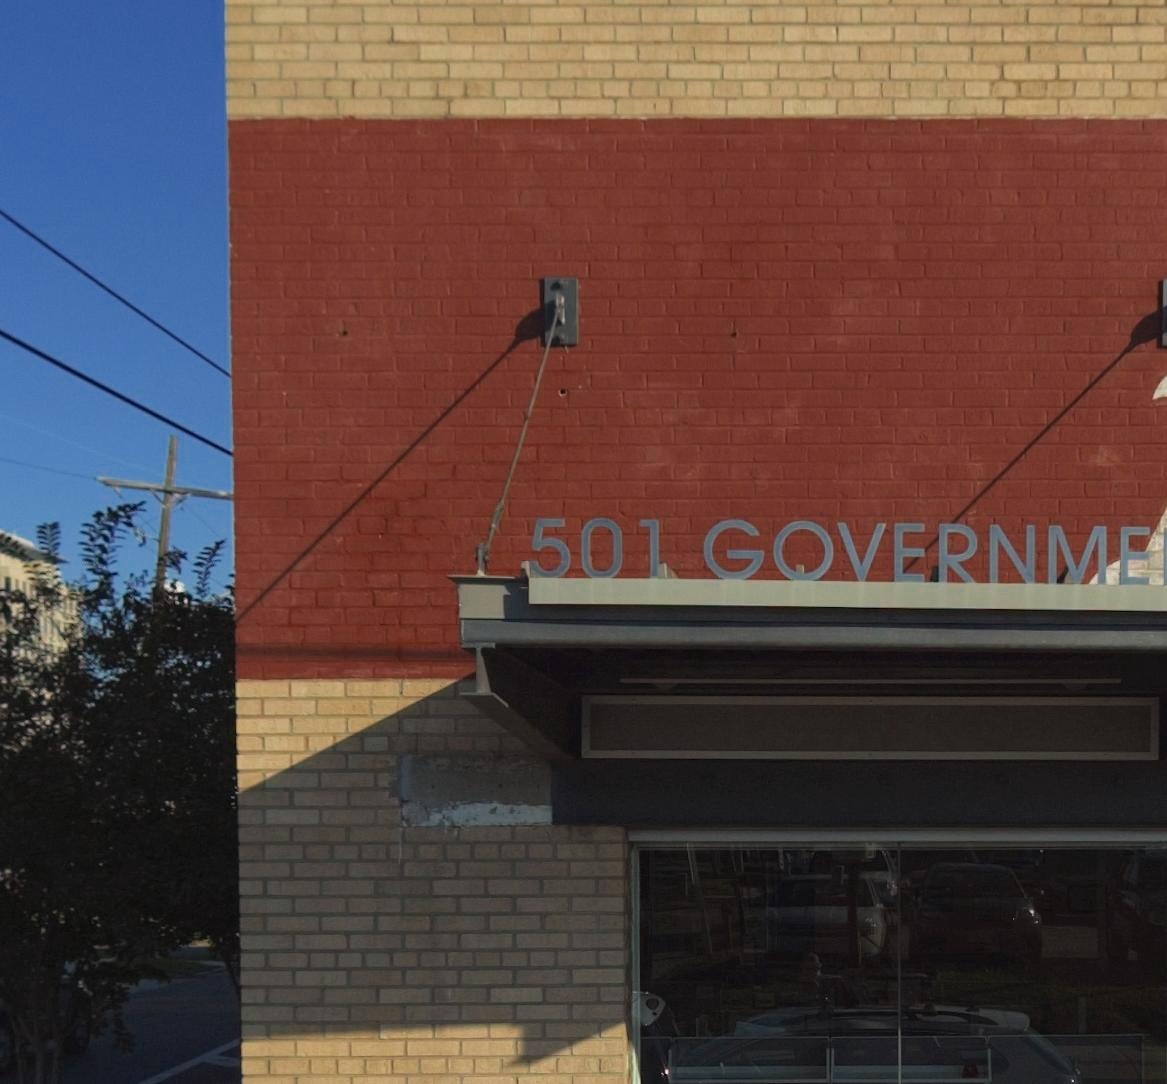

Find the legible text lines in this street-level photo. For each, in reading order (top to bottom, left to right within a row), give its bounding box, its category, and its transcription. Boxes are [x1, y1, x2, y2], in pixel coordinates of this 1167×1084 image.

[525, 513, 665, 583] StreetNumber: 501
[697, 512, 1156, 591] StreetName: GOVERNME